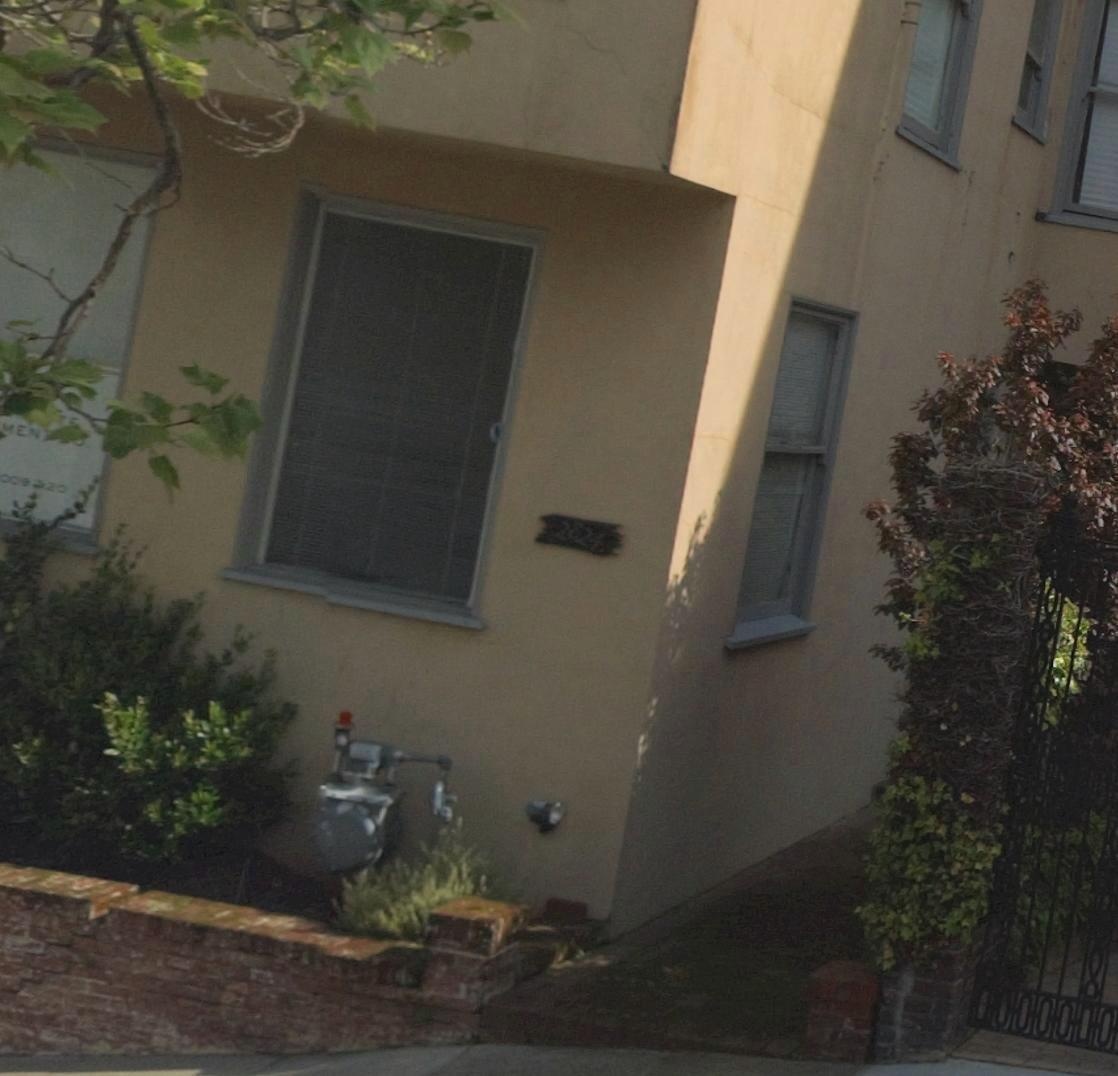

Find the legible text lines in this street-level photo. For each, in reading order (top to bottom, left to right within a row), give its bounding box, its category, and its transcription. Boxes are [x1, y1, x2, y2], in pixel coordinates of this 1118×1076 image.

[550, 518, 608, 556] StreetNumber: 2824